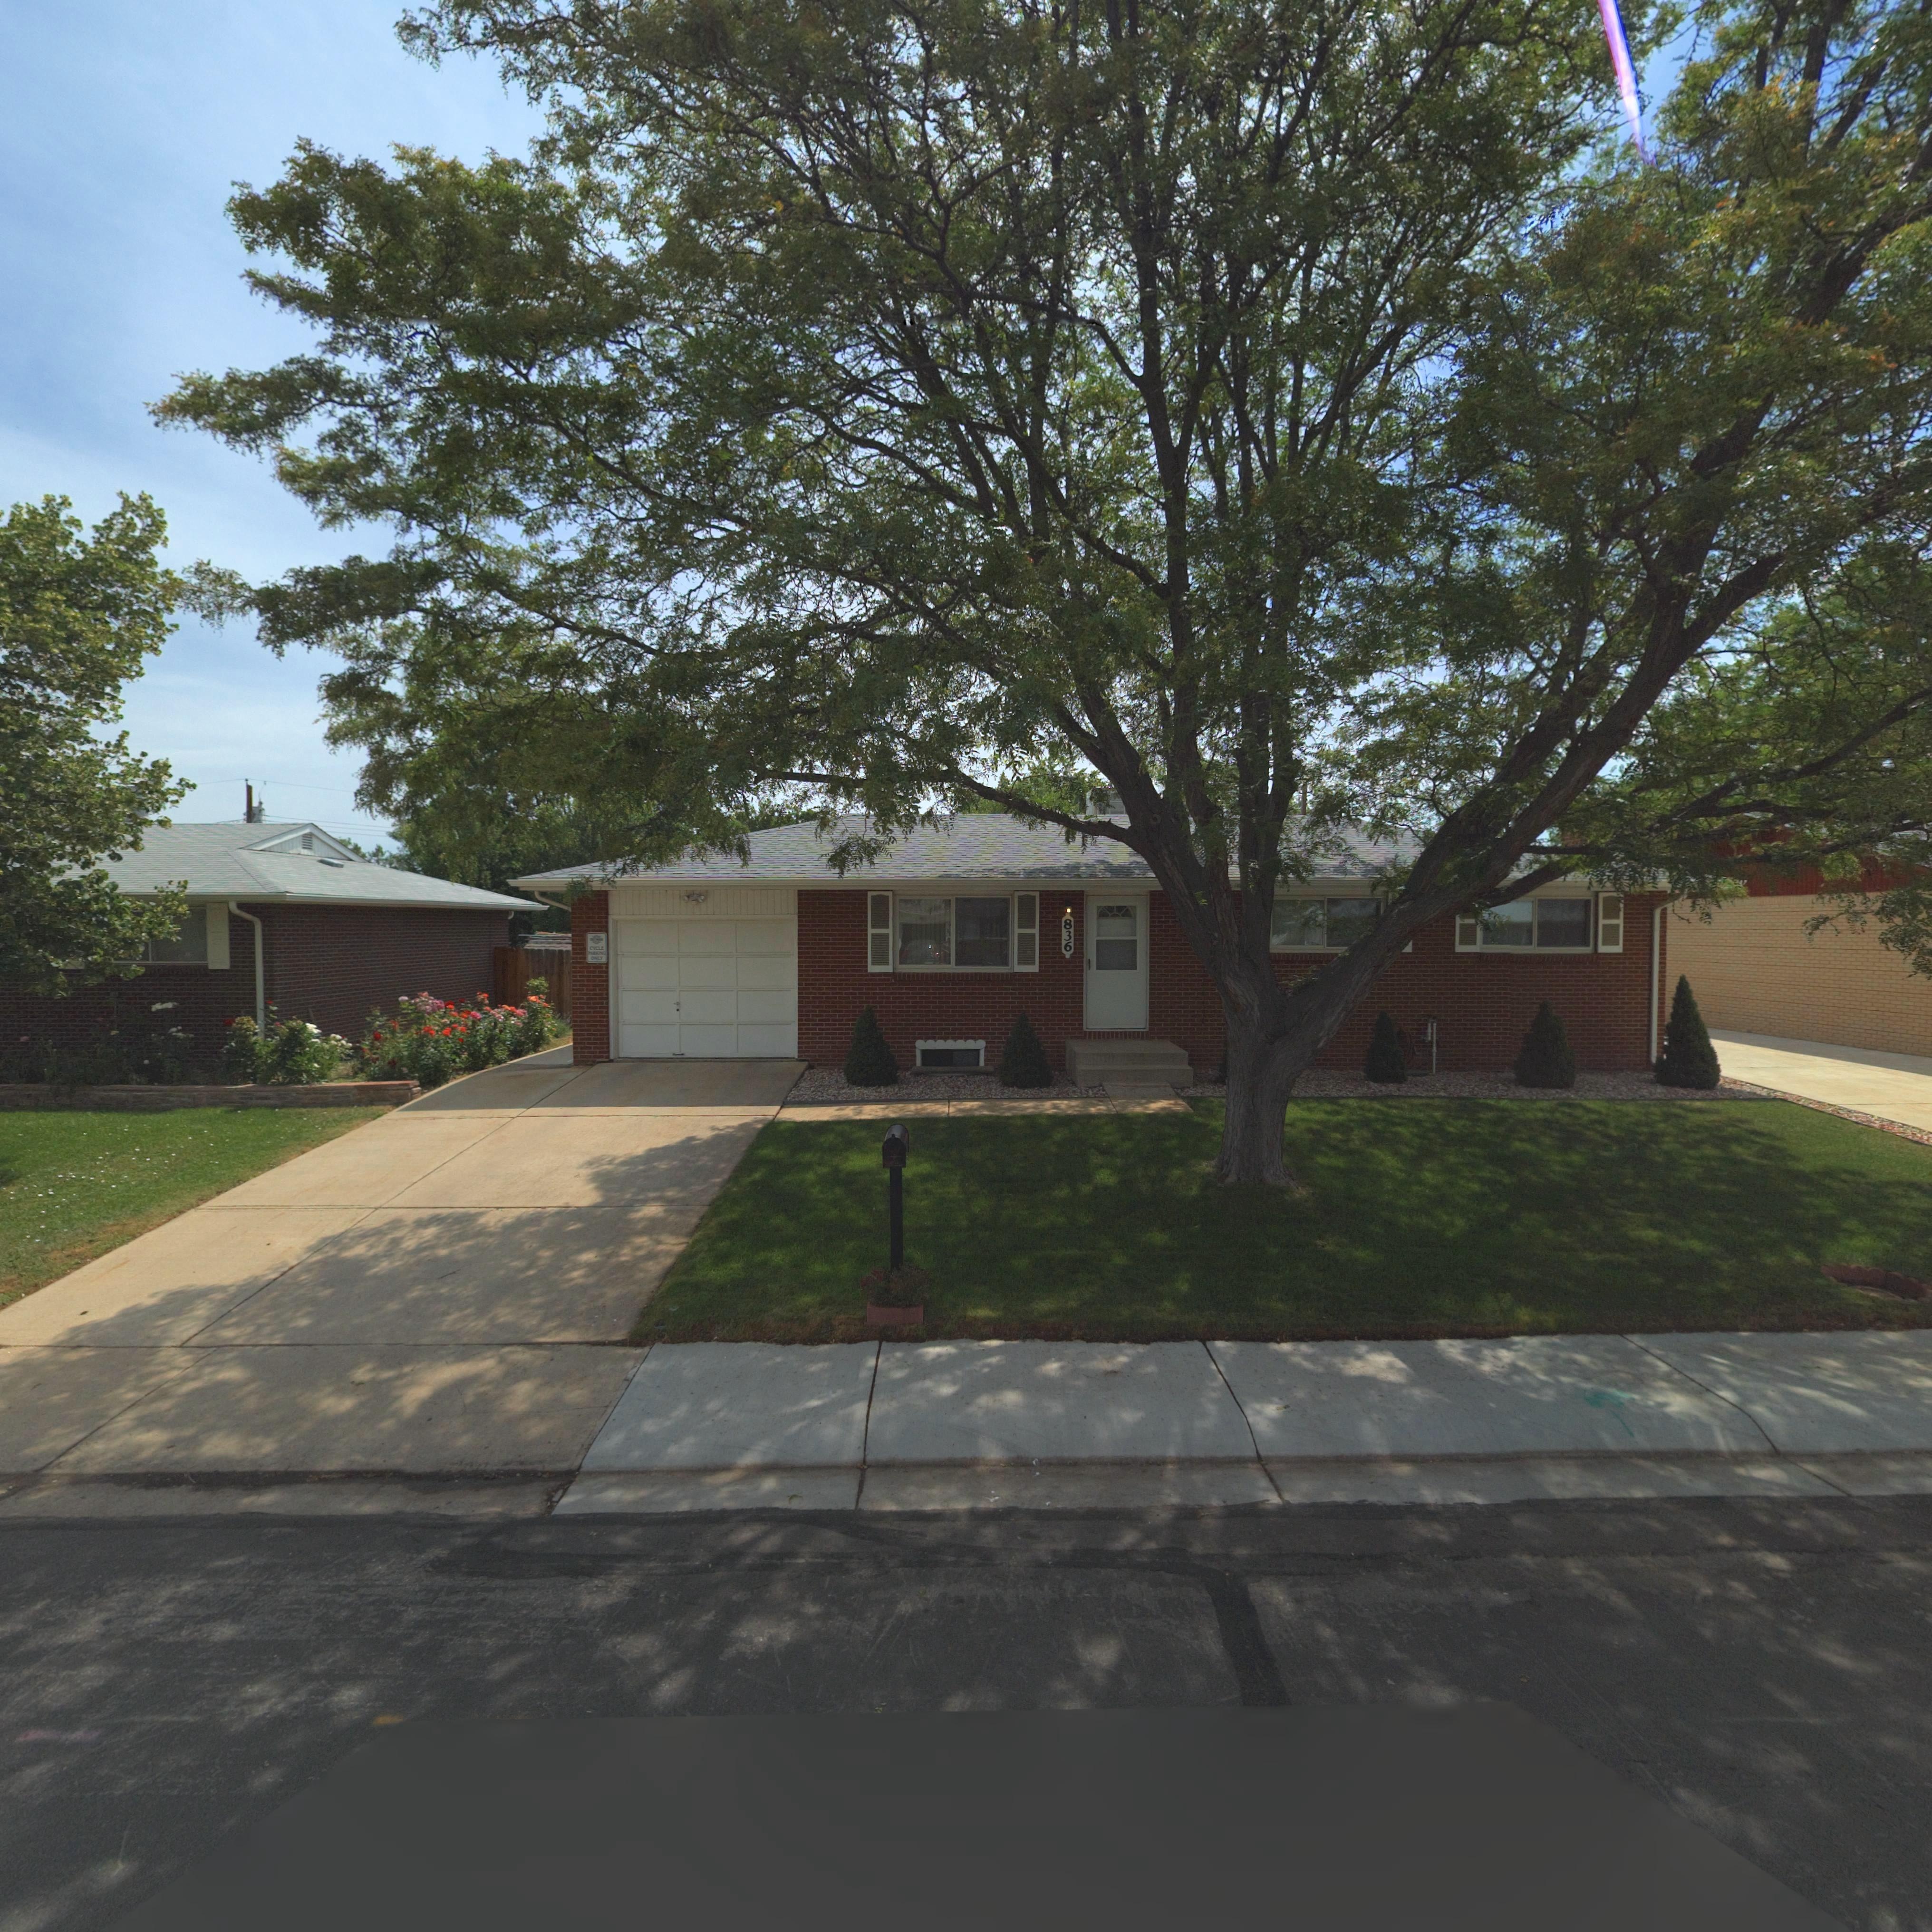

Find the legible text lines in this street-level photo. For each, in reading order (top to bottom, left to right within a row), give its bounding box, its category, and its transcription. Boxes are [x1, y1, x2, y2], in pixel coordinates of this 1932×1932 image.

[1063, 918, 1073, 952] StreetNumber: 836